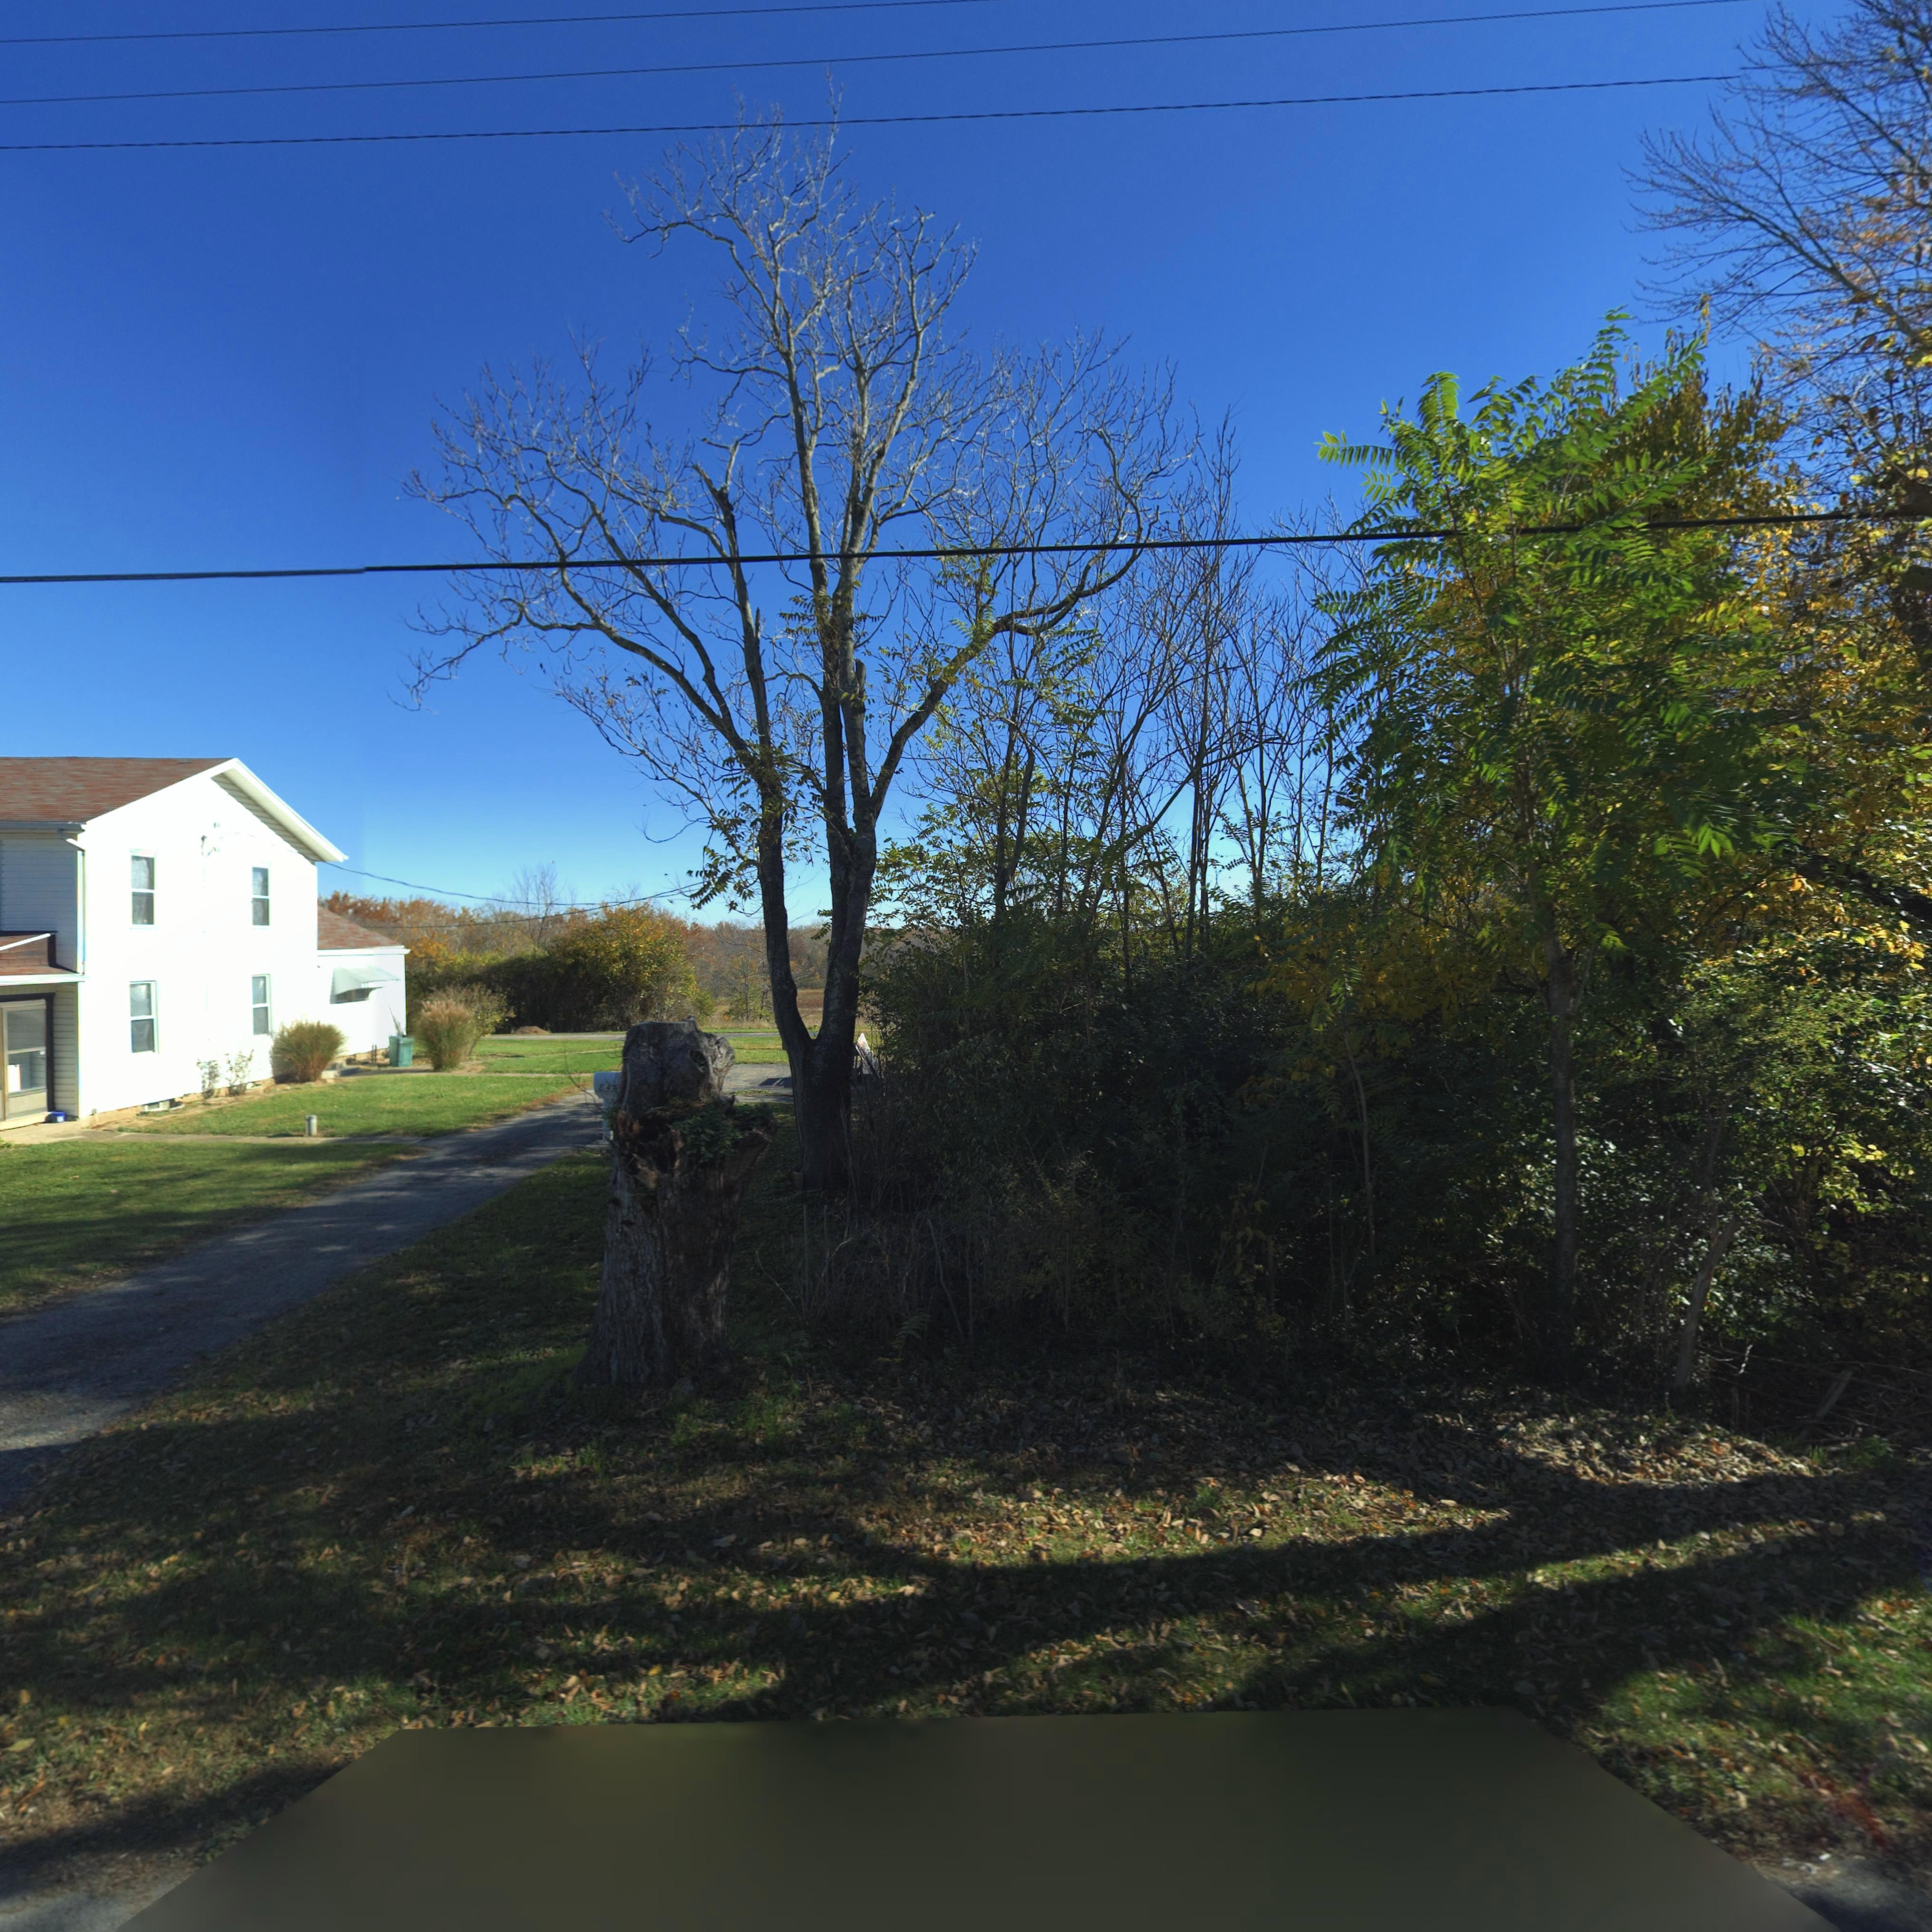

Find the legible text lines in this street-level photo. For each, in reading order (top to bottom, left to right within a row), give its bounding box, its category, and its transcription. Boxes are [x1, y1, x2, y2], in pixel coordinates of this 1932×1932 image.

[598, 1083, 618, 1092] StreetNumber: 84*